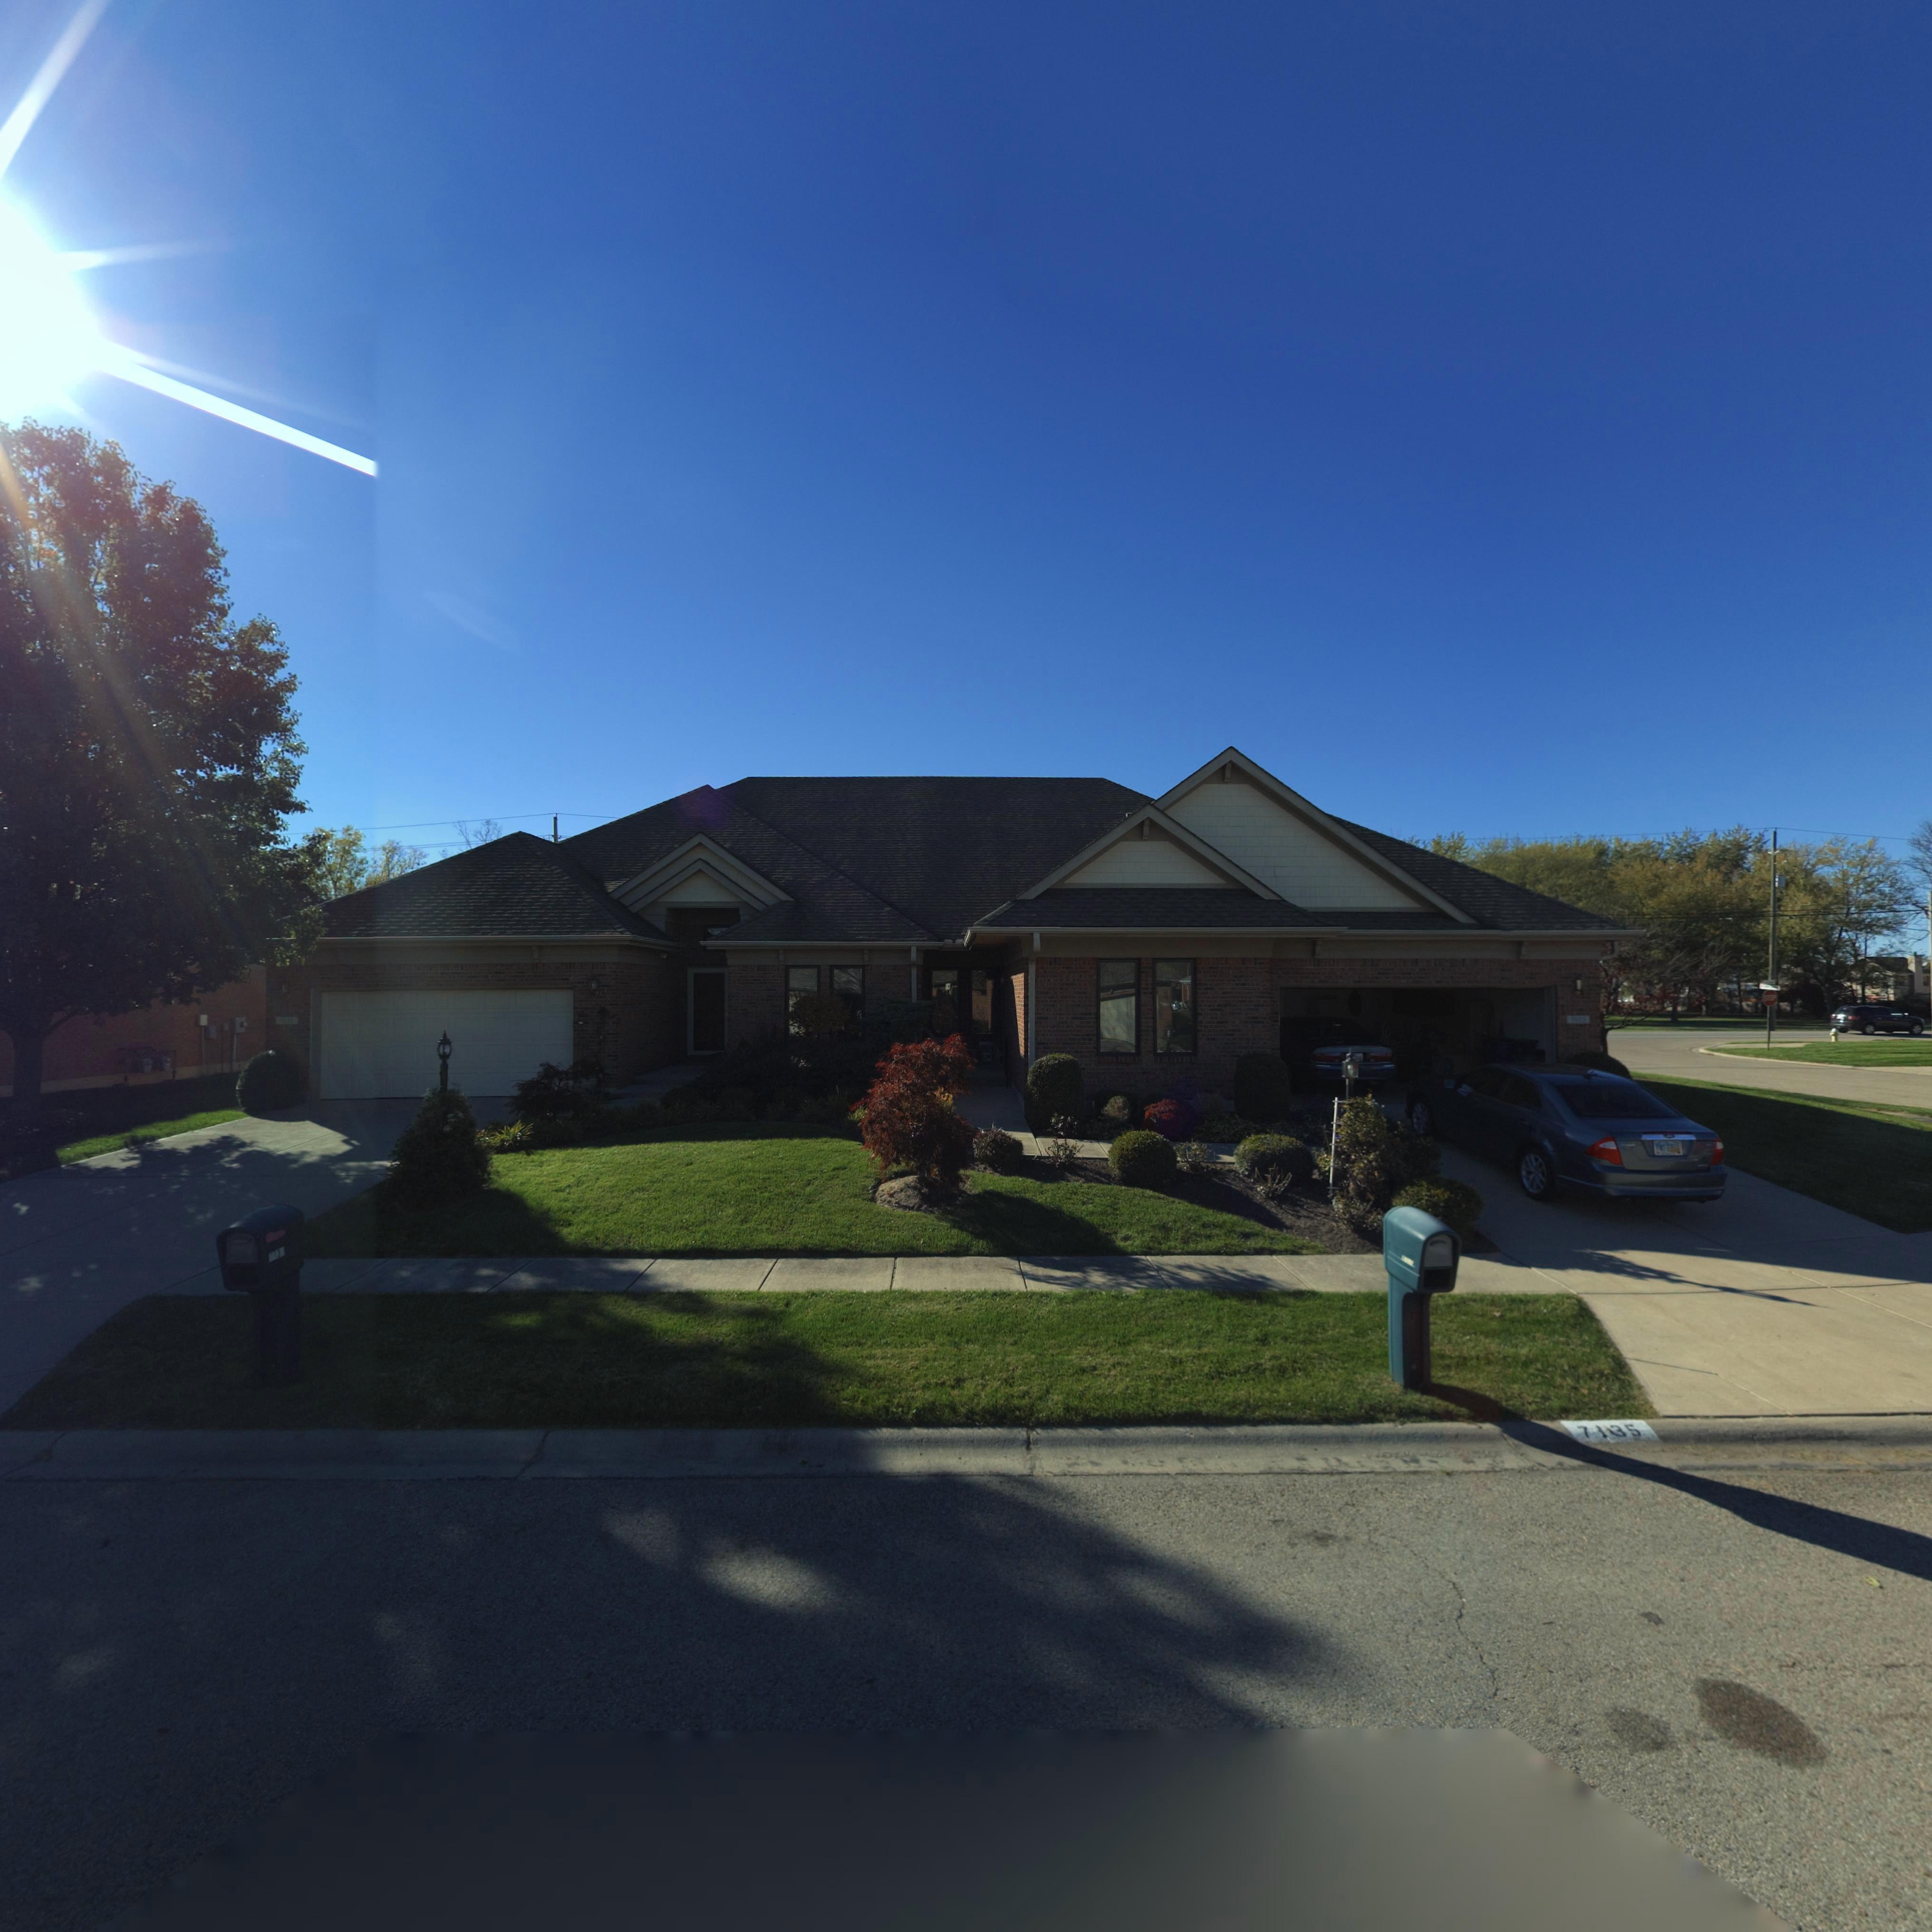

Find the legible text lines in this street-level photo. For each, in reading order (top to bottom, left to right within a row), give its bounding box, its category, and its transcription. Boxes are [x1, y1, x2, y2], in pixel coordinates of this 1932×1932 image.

[278, 1017, 293, 1024] StreetNumber: 7131
[1570, 1016, 1587, 1023] StreetNumber: 7135
[268, 1247, 281, 1262] StreetNumber: 713
[1576, 1423, 1644, 1439] StreetNumber: 71*35